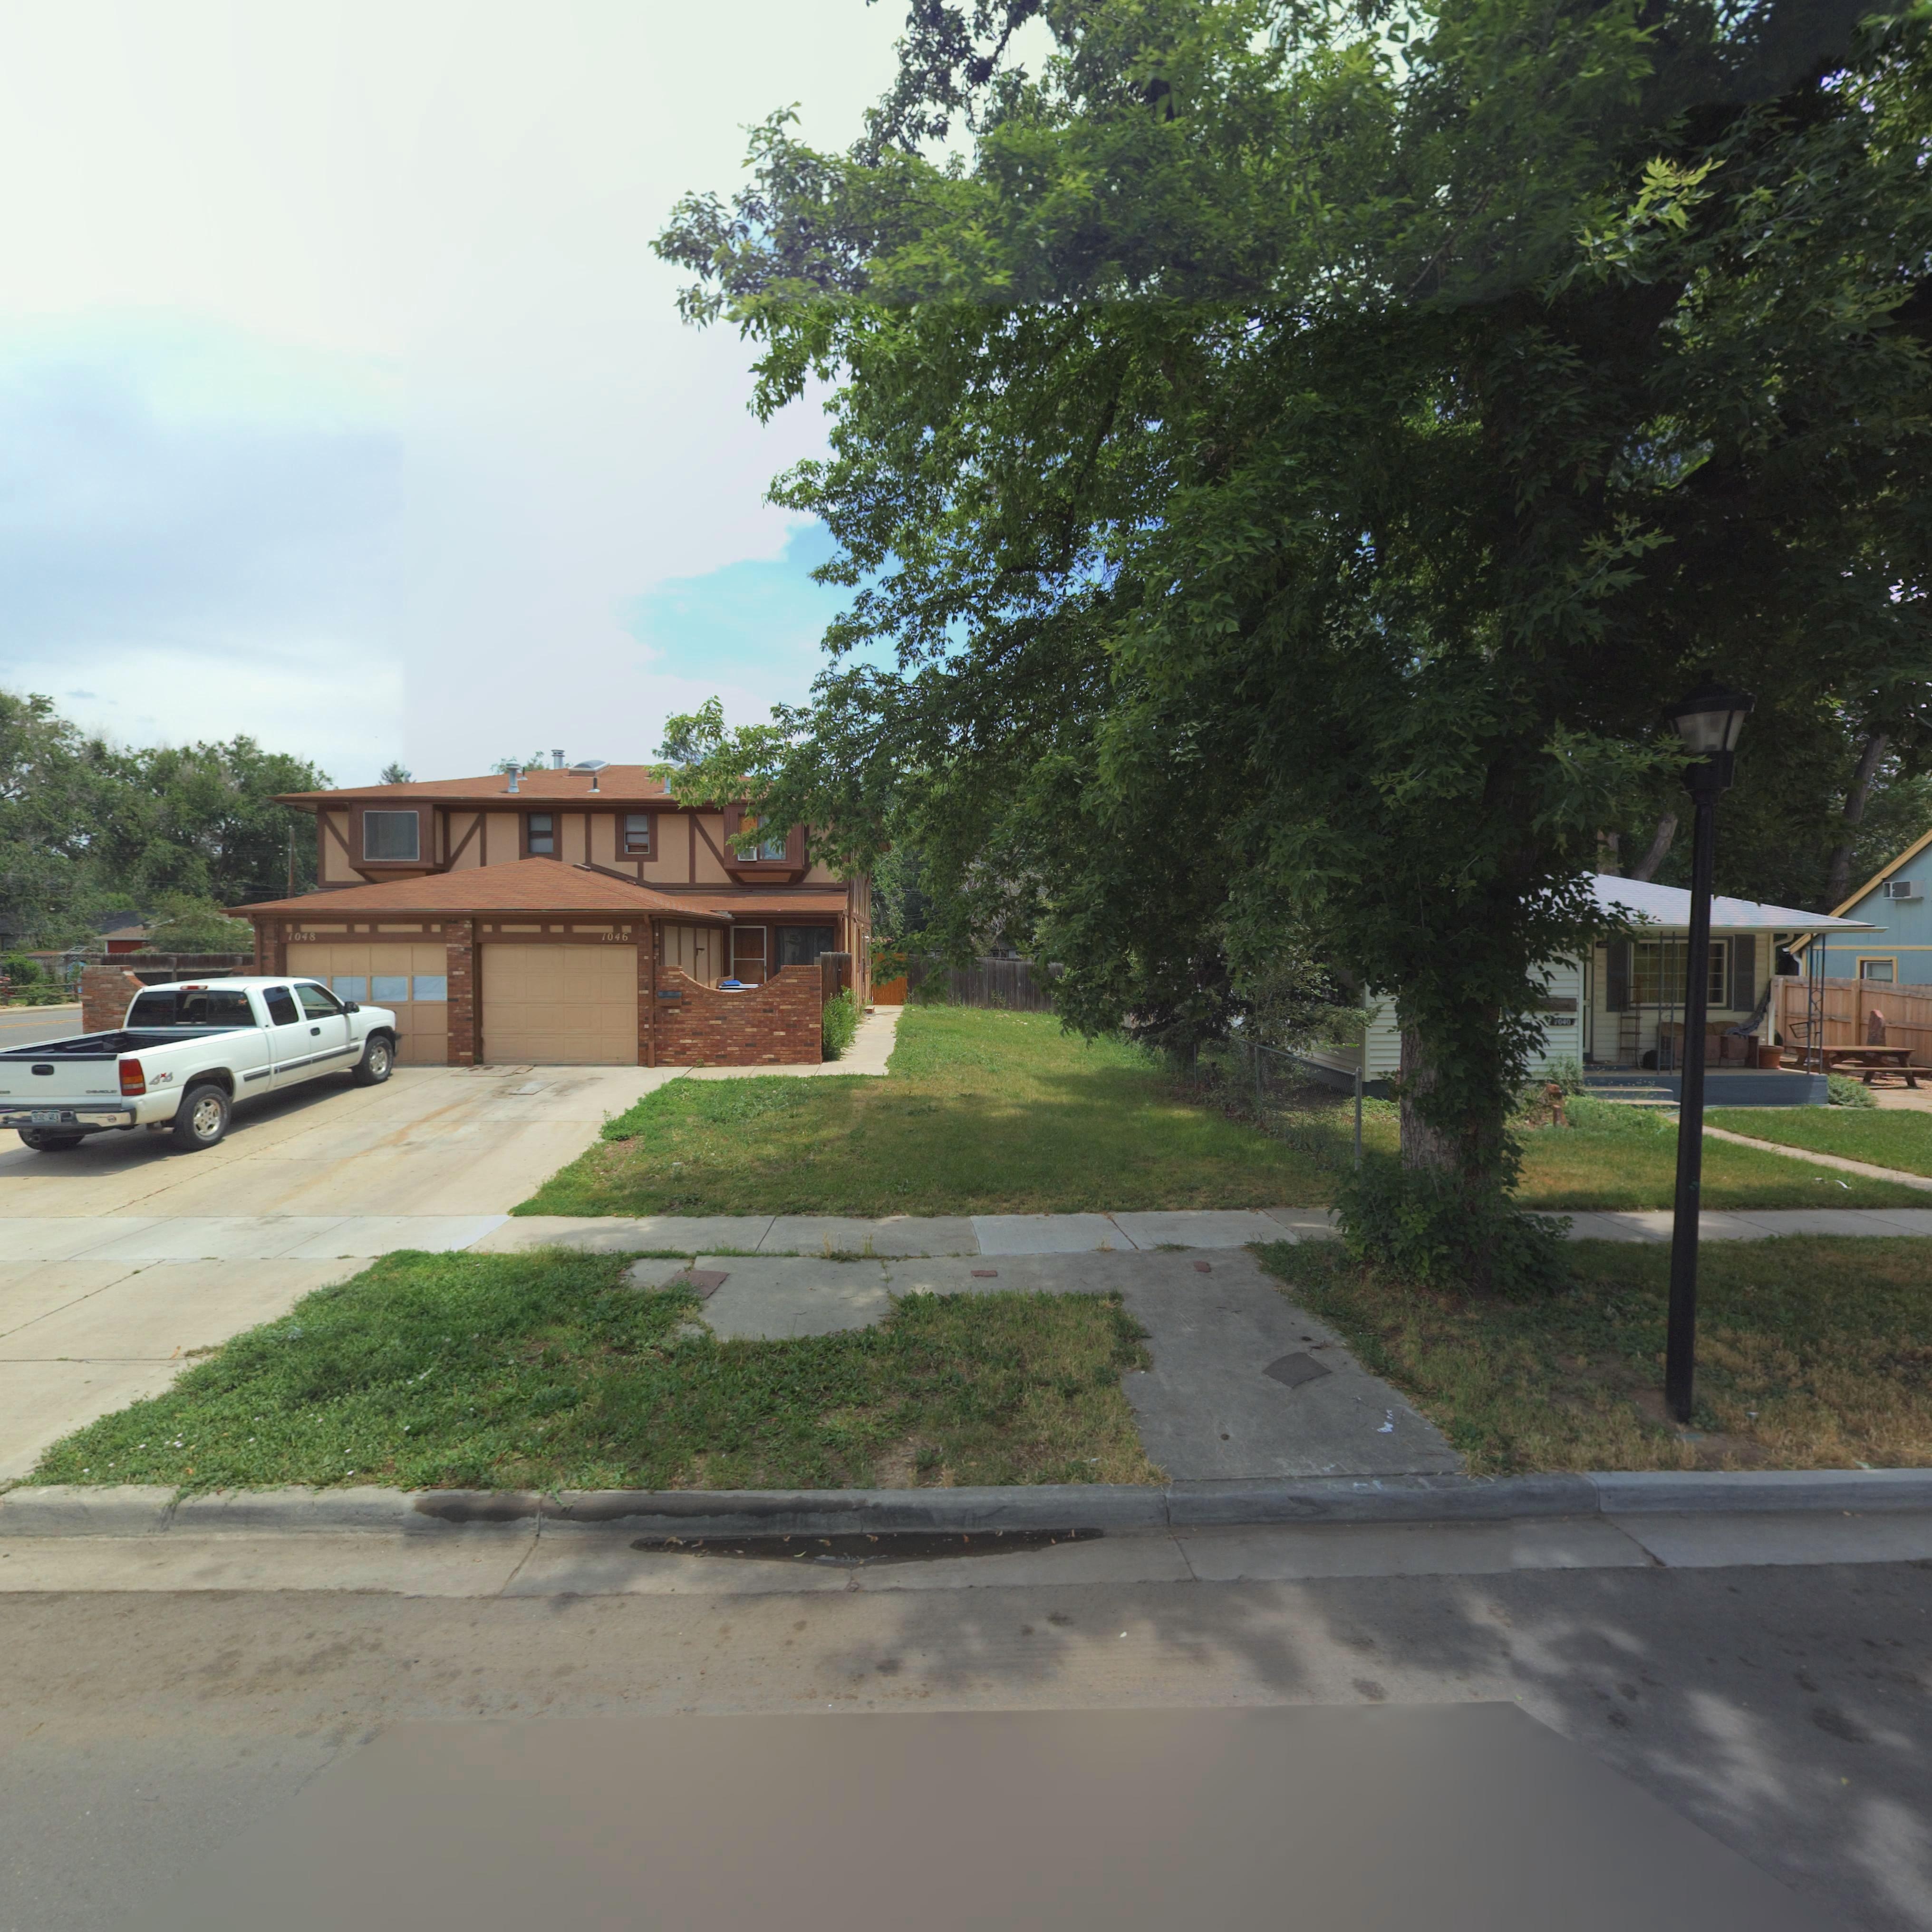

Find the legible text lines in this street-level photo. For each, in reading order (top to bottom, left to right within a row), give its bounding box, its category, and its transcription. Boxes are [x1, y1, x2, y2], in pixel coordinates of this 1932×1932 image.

[287, 932, 316, 941] StreetNumber: 1048
[601, 932, 628, 942] StreetNumber: 1046
[1554, 1018, 1571, 1025] StreetNumber: 1040